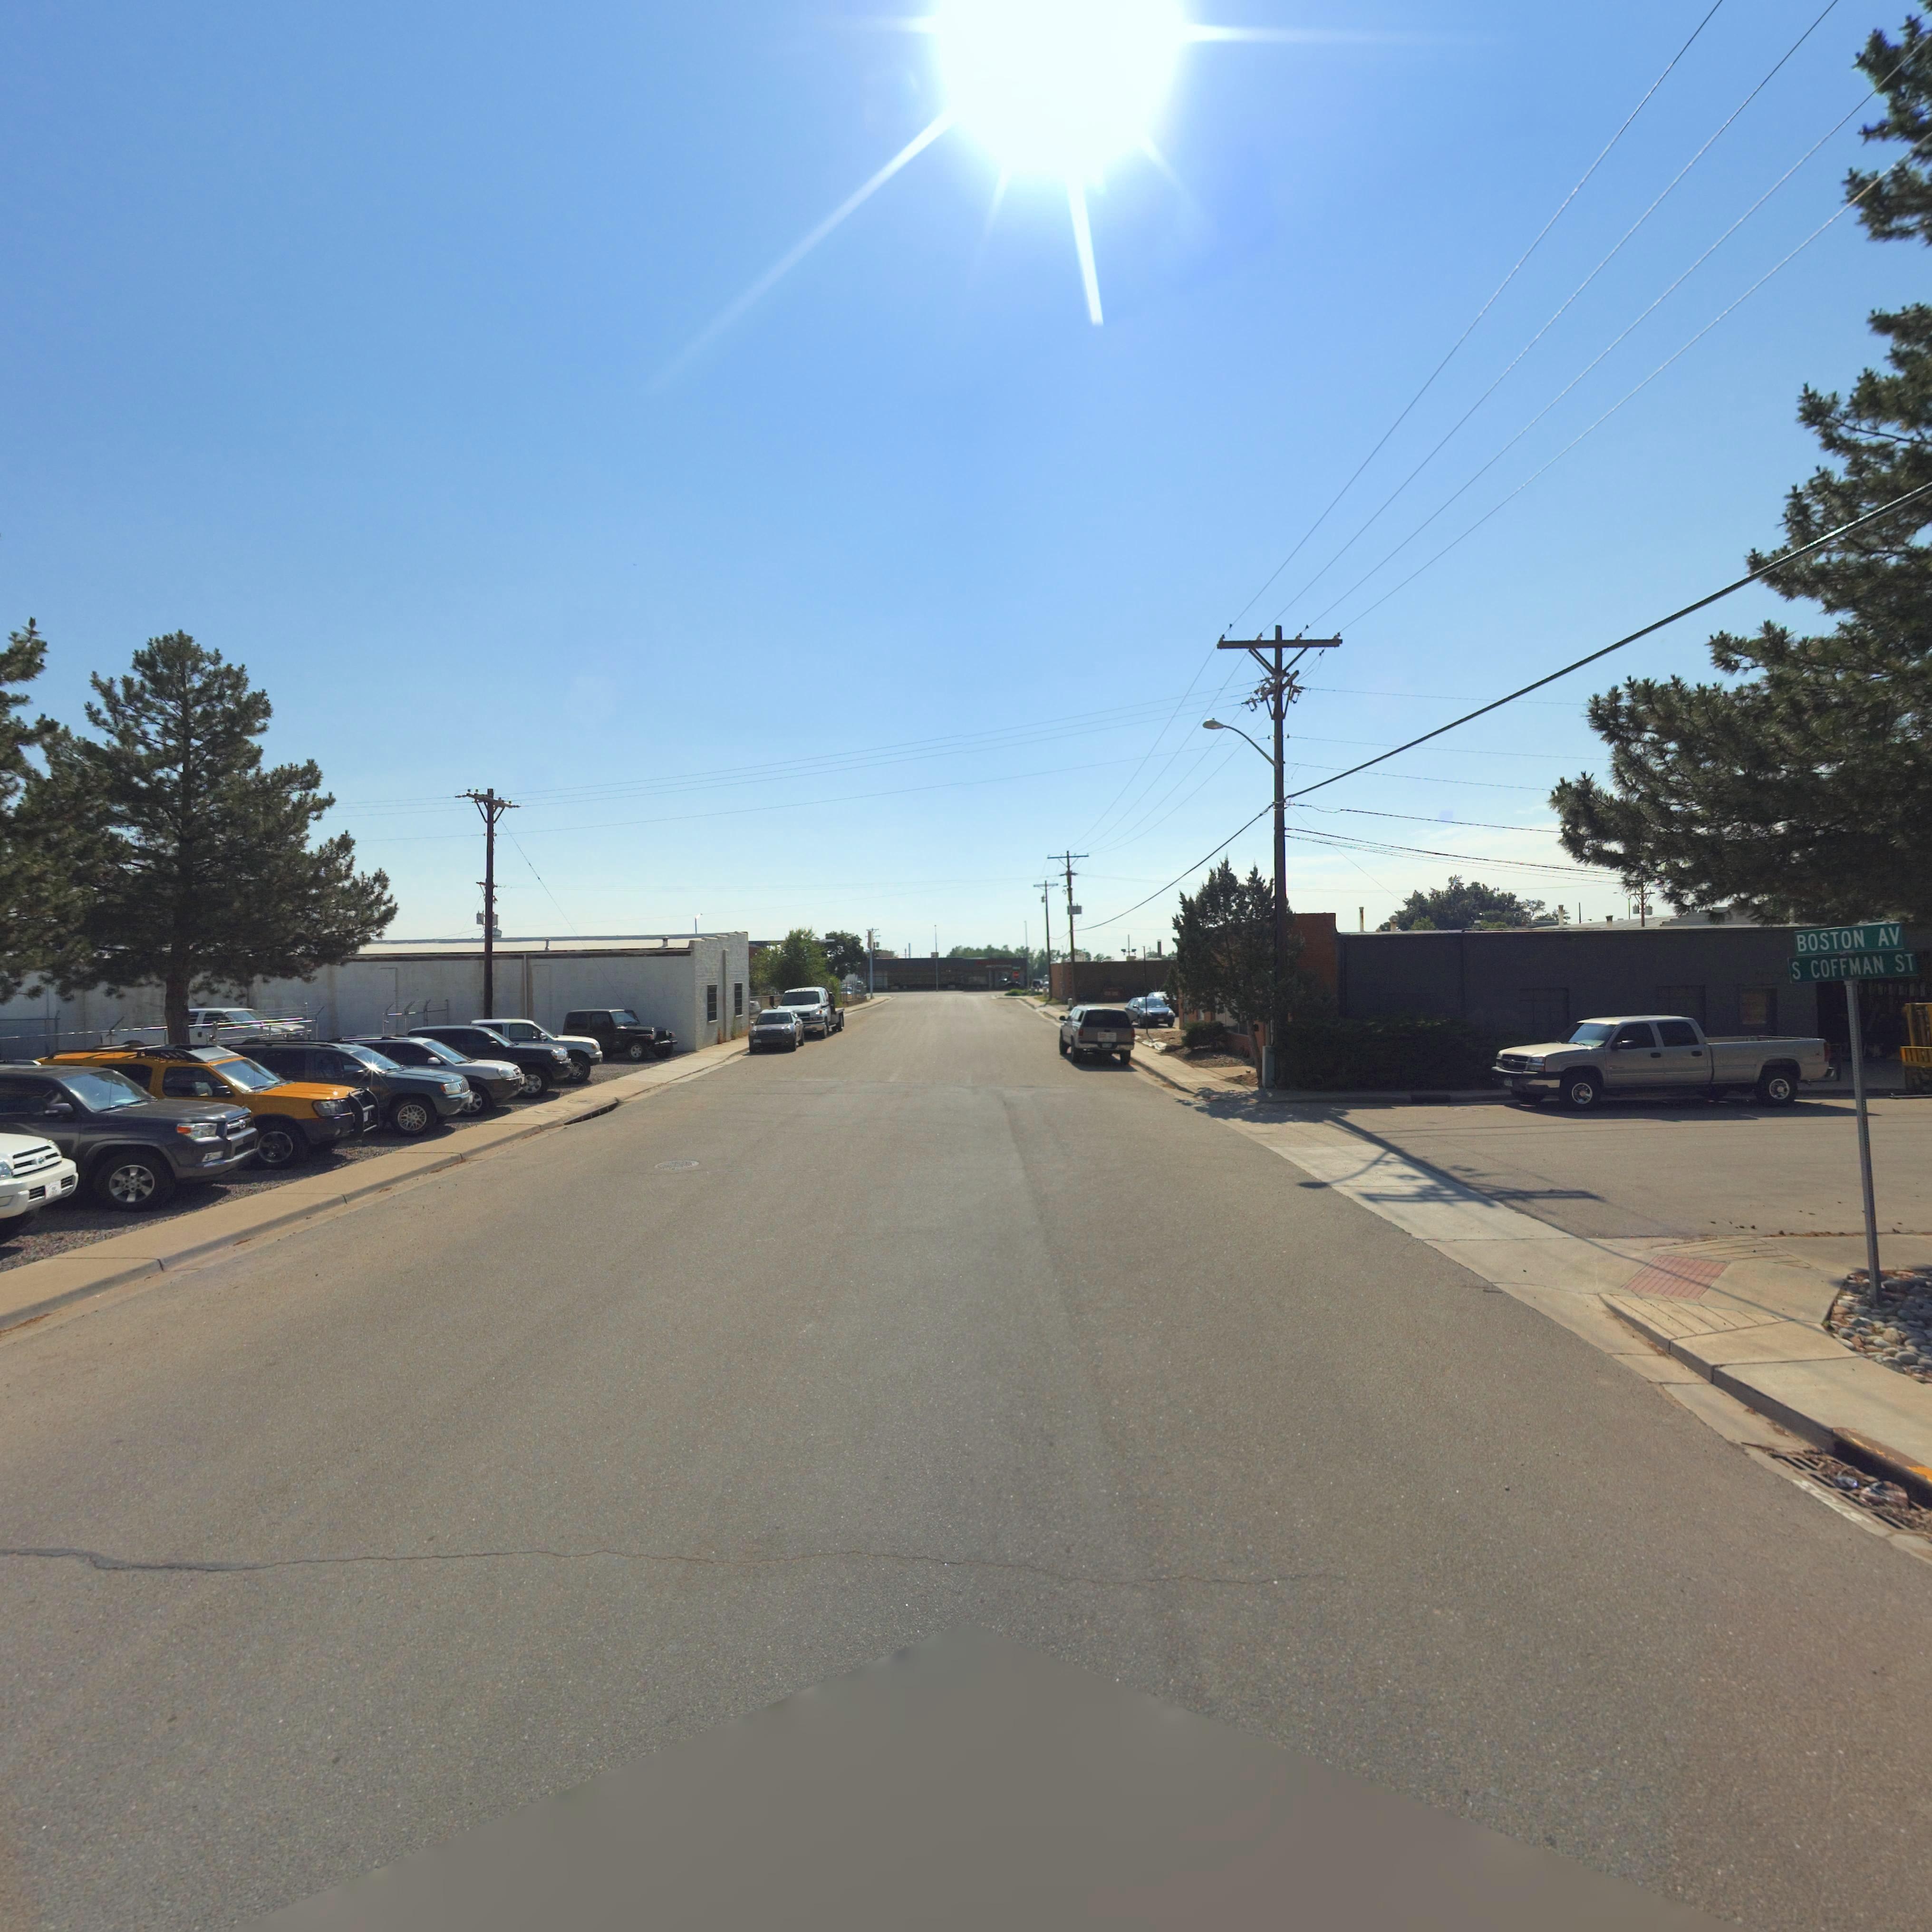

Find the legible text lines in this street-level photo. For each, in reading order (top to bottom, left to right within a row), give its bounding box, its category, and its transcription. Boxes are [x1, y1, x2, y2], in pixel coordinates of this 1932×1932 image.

[1796, 926, 1901, 953] StreetName: BOSTON AV
[1791, 953, 1915, 981] StreetName: S COFFMAN ST